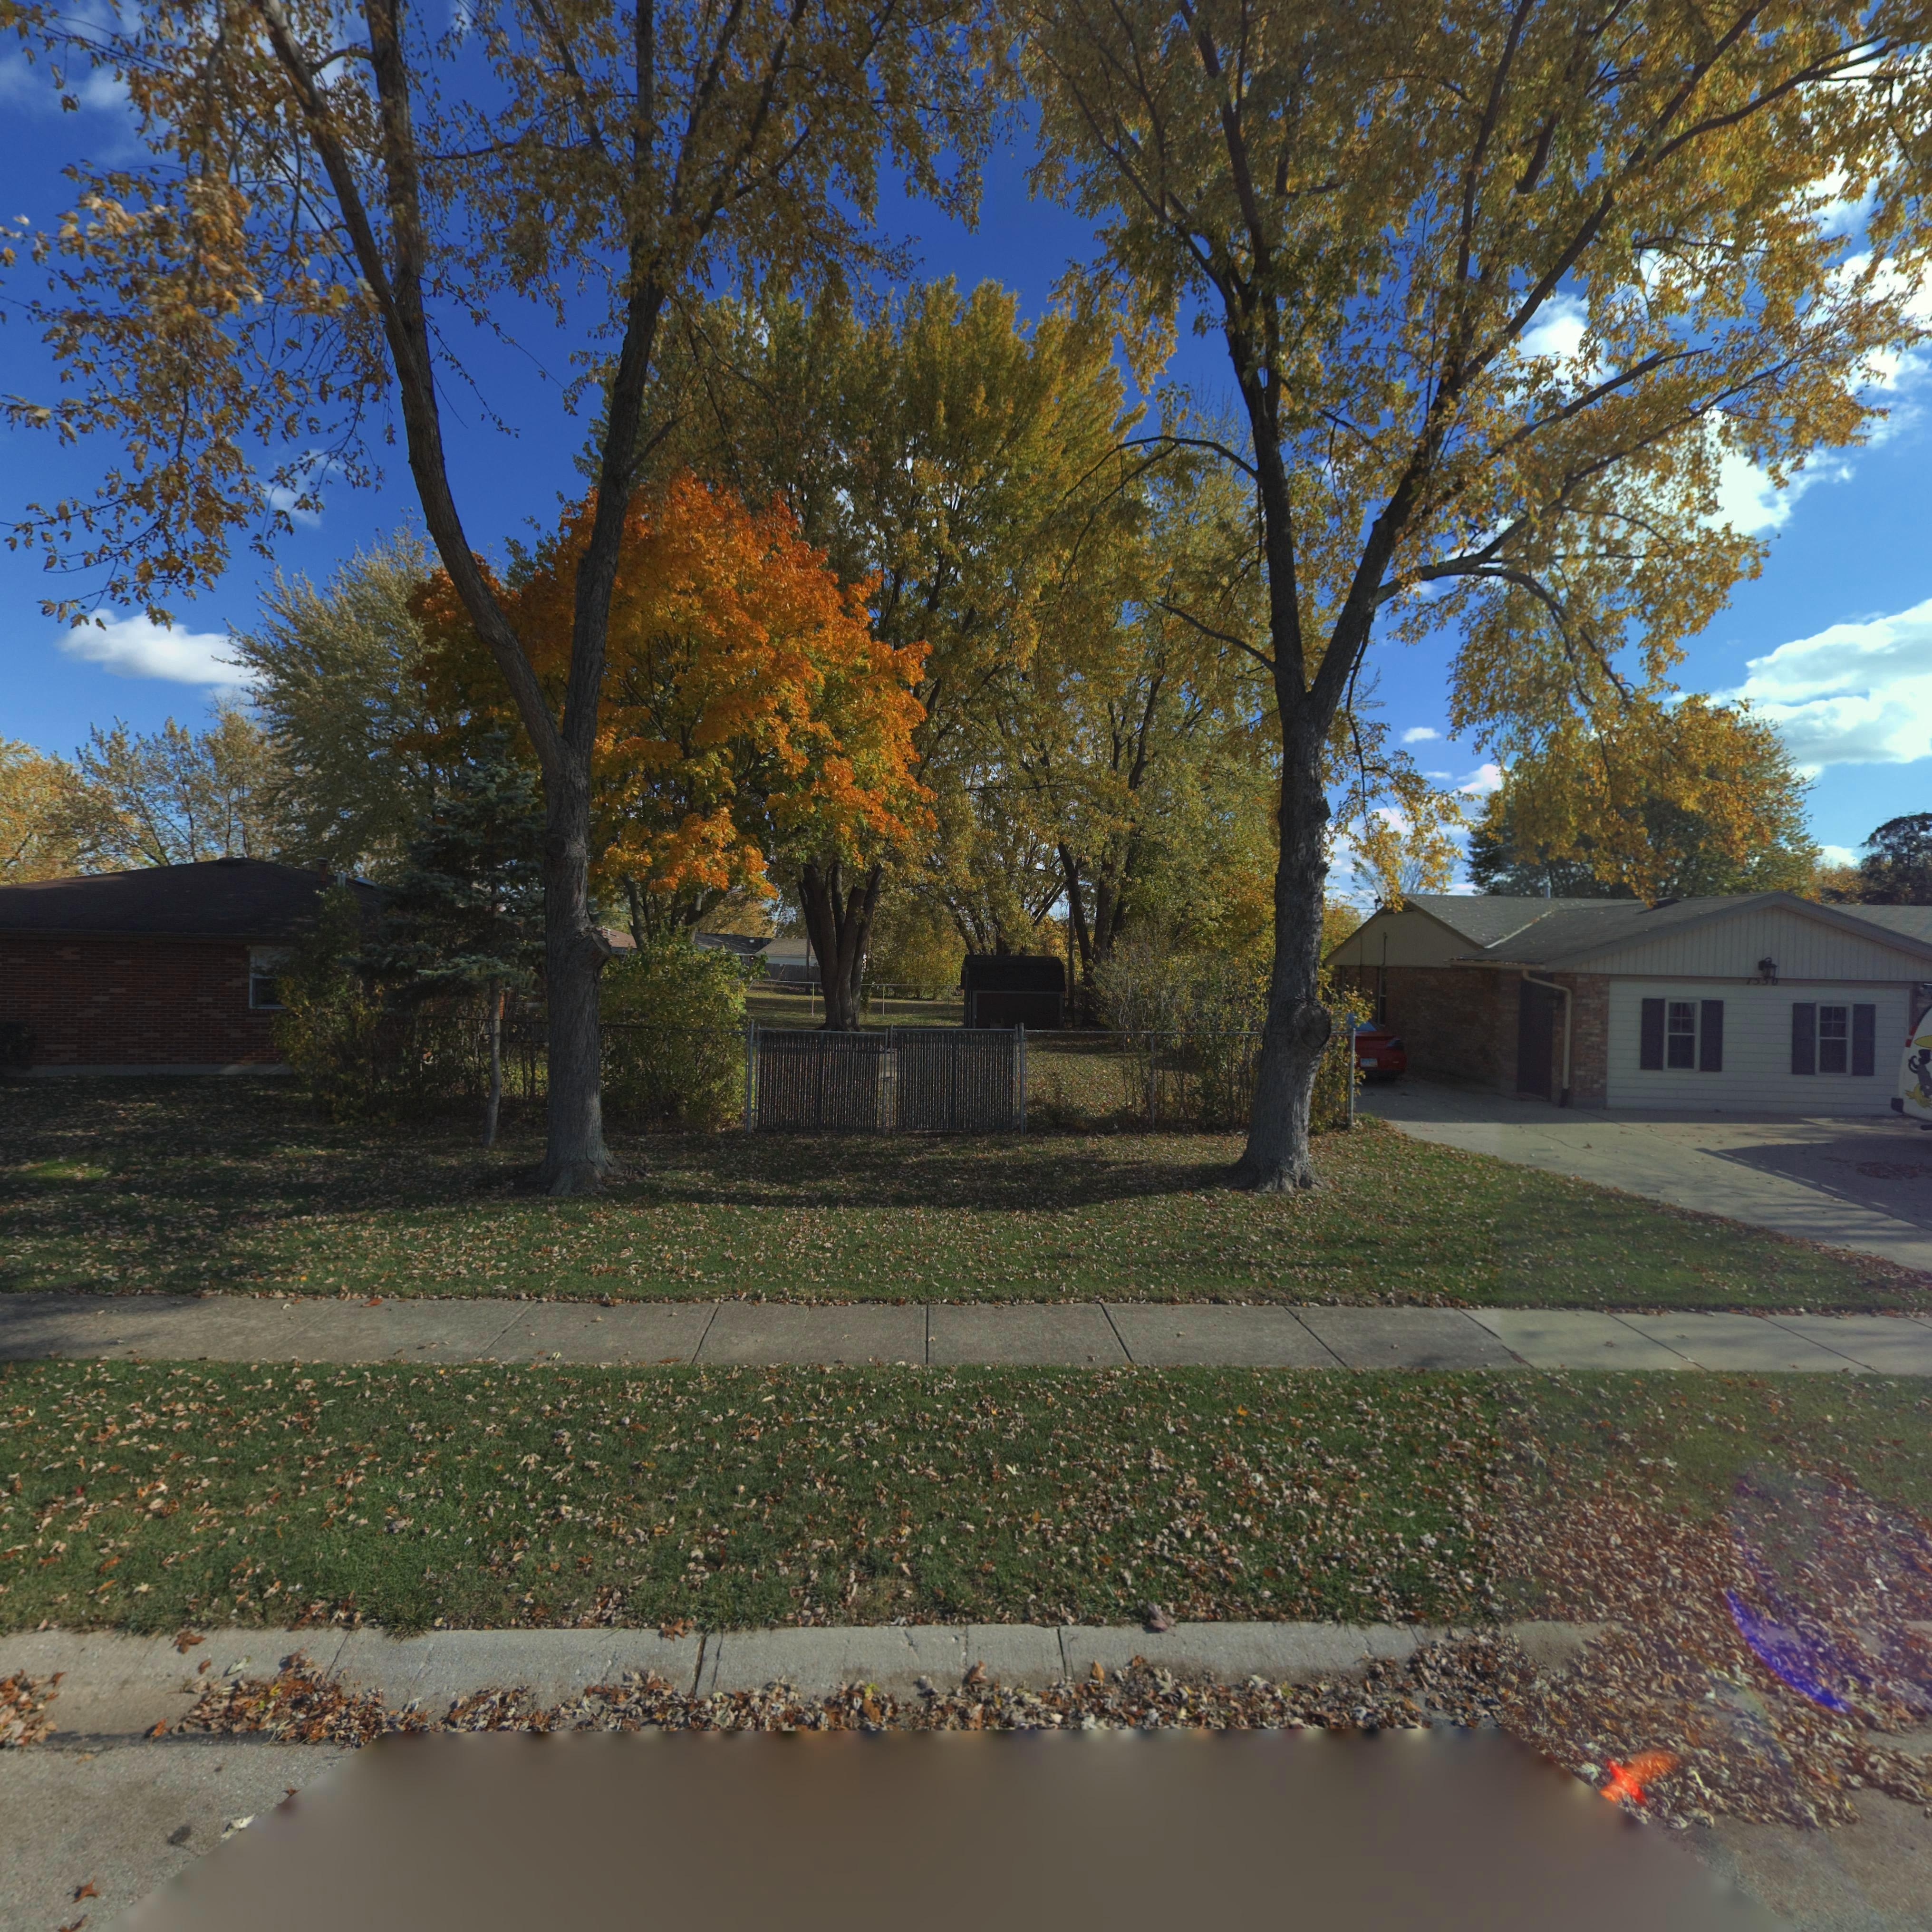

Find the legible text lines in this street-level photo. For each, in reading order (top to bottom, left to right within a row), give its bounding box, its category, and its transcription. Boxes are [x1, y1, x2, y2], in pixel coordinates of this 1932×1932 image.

[1745, 976, 1780, 986] StreetNumber: **50